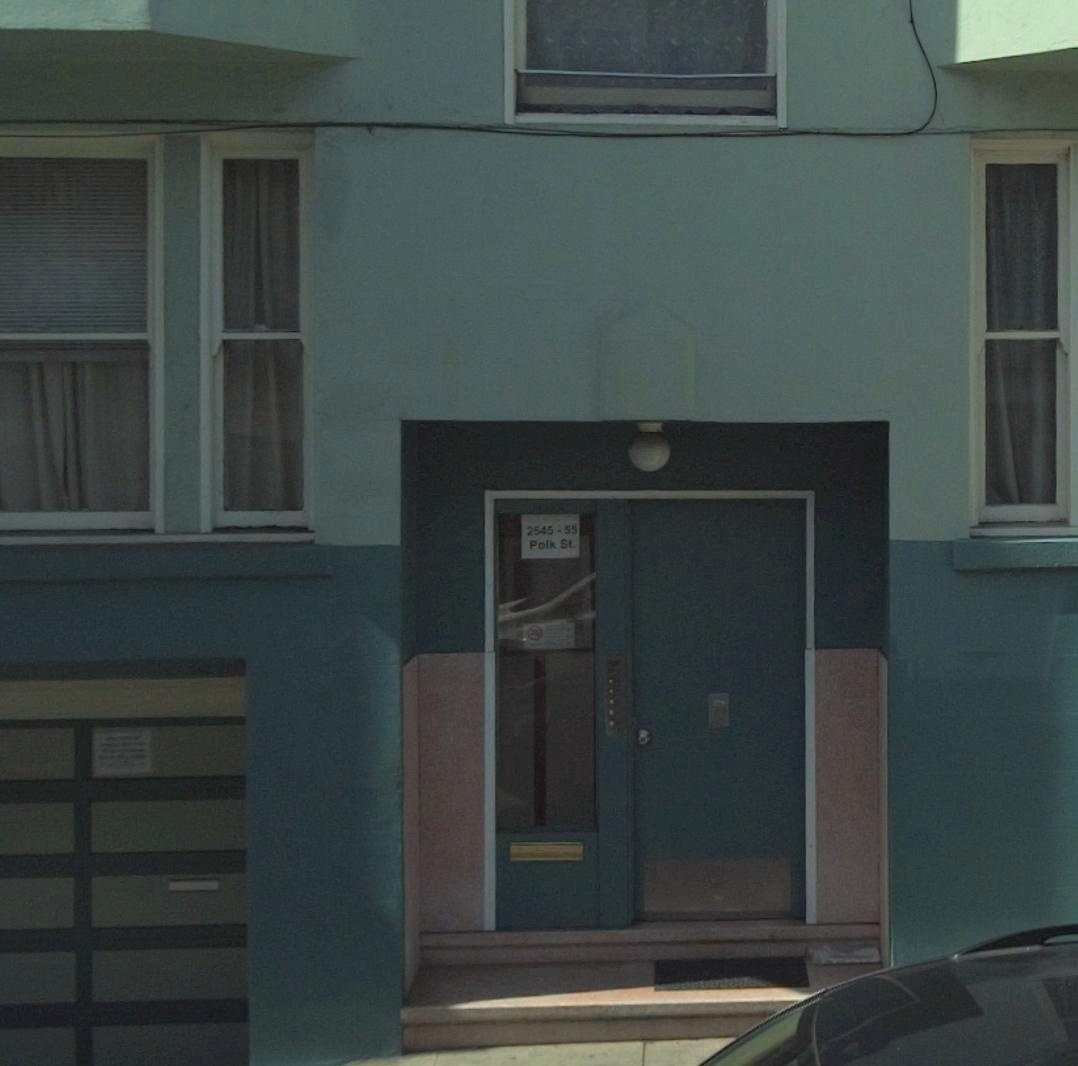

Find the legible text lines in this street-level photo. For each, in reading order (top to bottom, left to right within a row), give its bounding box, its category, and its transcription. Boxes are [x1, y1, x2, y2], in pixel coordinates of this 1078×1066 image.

[525, 523, 554, 537] StreetNumber: 2545
[563, 522, 578, 536] StreetNumber: 55
[528, 538, 576, 551] StreetName: Polk St.